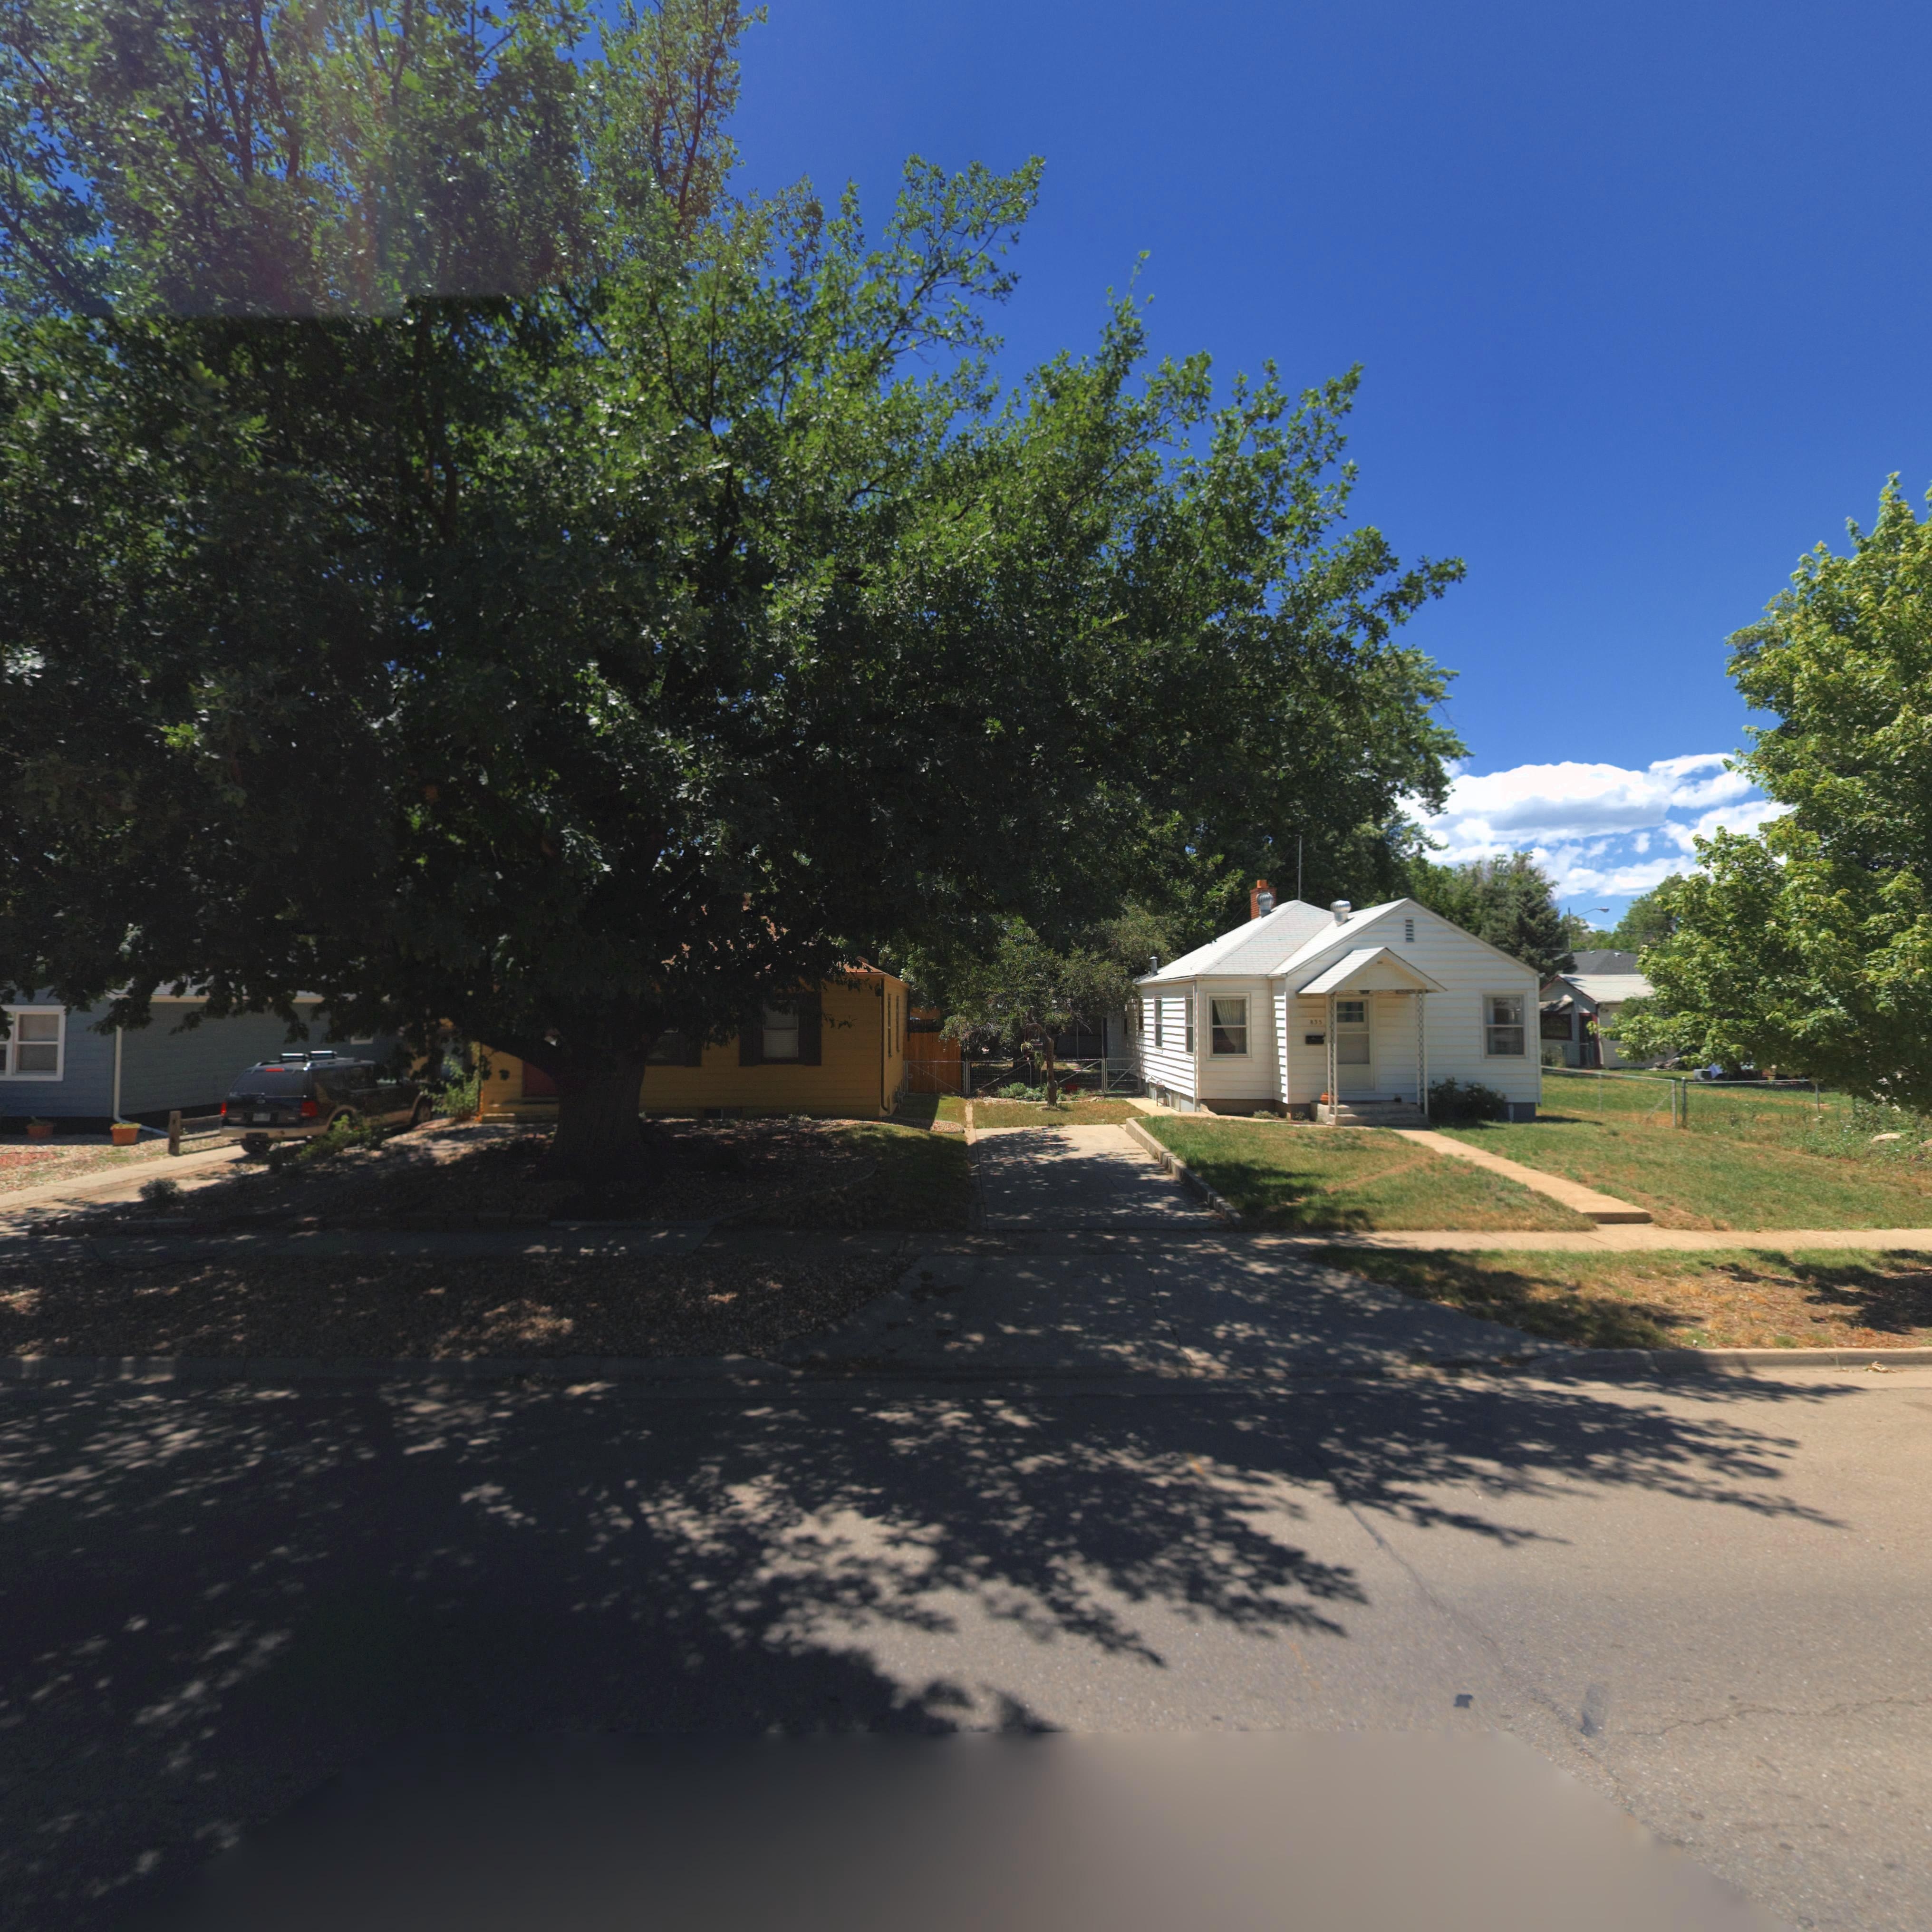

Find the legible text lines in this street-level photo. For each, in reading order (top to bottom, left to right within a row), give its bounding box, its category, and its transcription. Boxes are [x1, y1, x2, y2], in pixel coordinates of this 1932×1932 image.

[1310, 1019, 1322, 1025] StreetNumber: 833